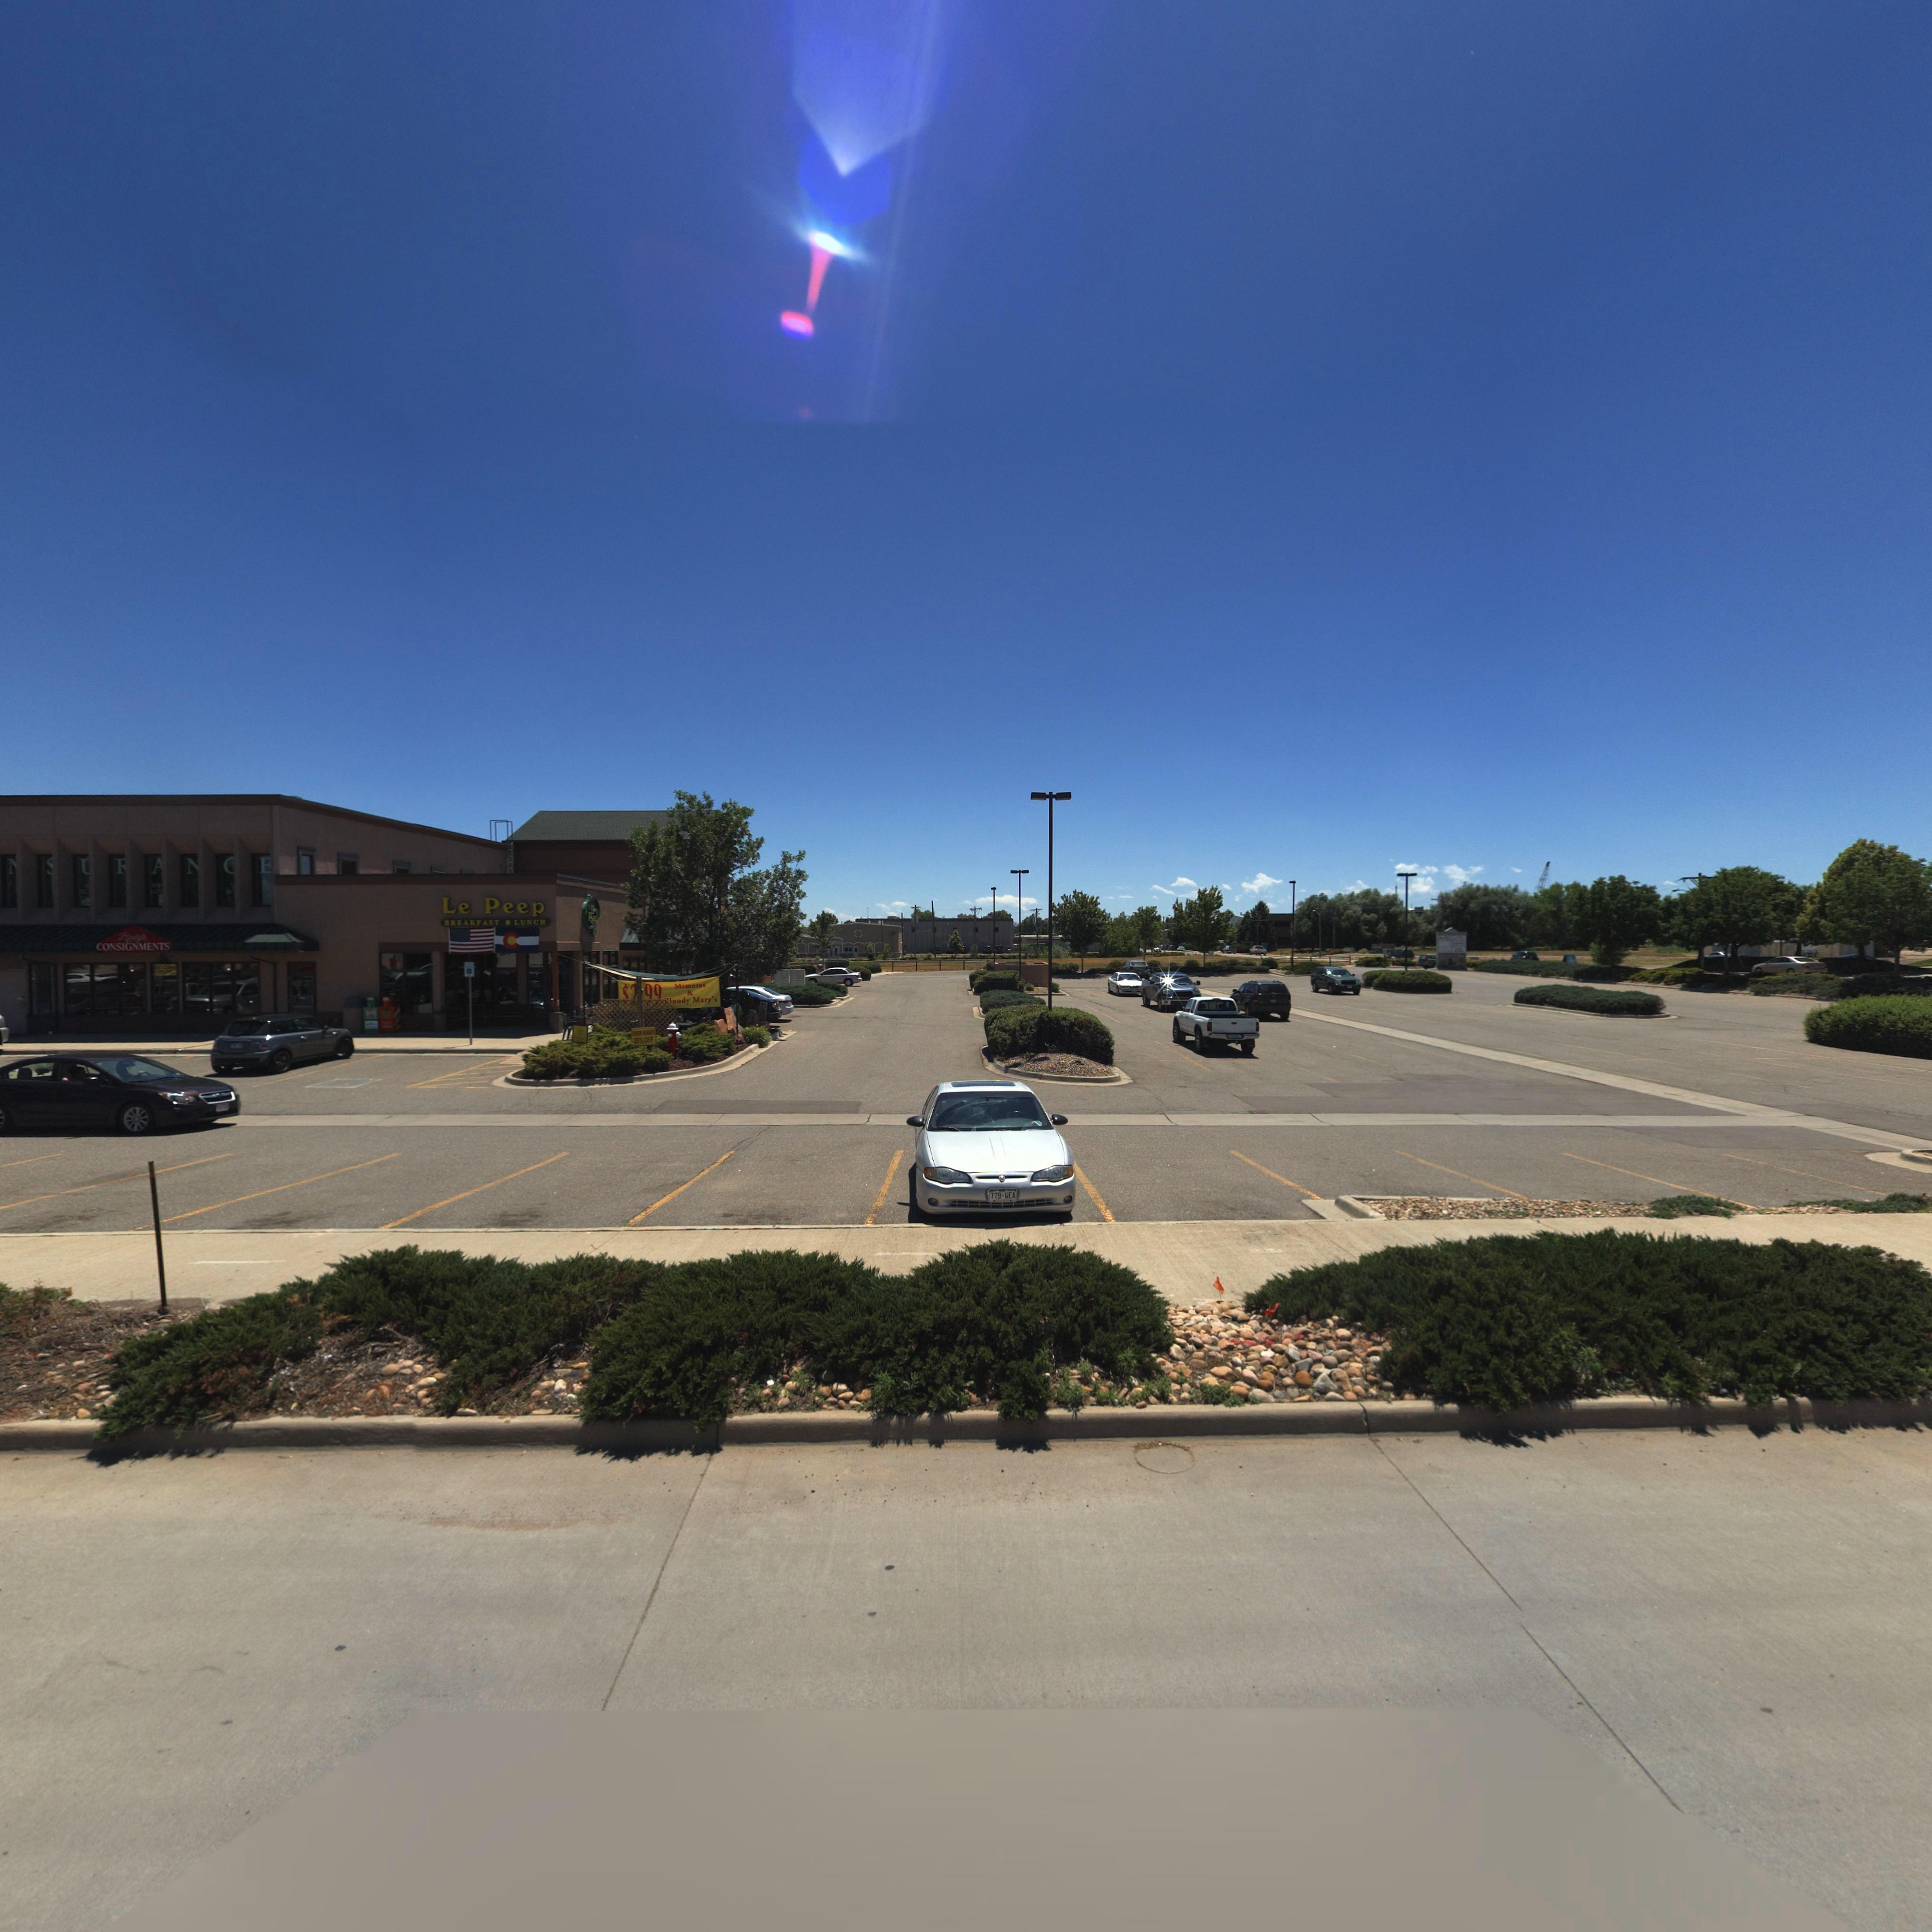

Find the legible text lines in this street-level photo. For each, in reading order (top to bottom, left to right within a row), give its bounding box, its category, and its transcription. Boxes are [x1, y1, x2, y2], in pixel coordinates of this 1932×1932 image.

[440, 896, 545, 917] BusinessName: Le Peep
[588, 911, 599, 924] BusinessName: Pe**
[95, 942, 171, 951] BusinessName: CONSIGNMENTS